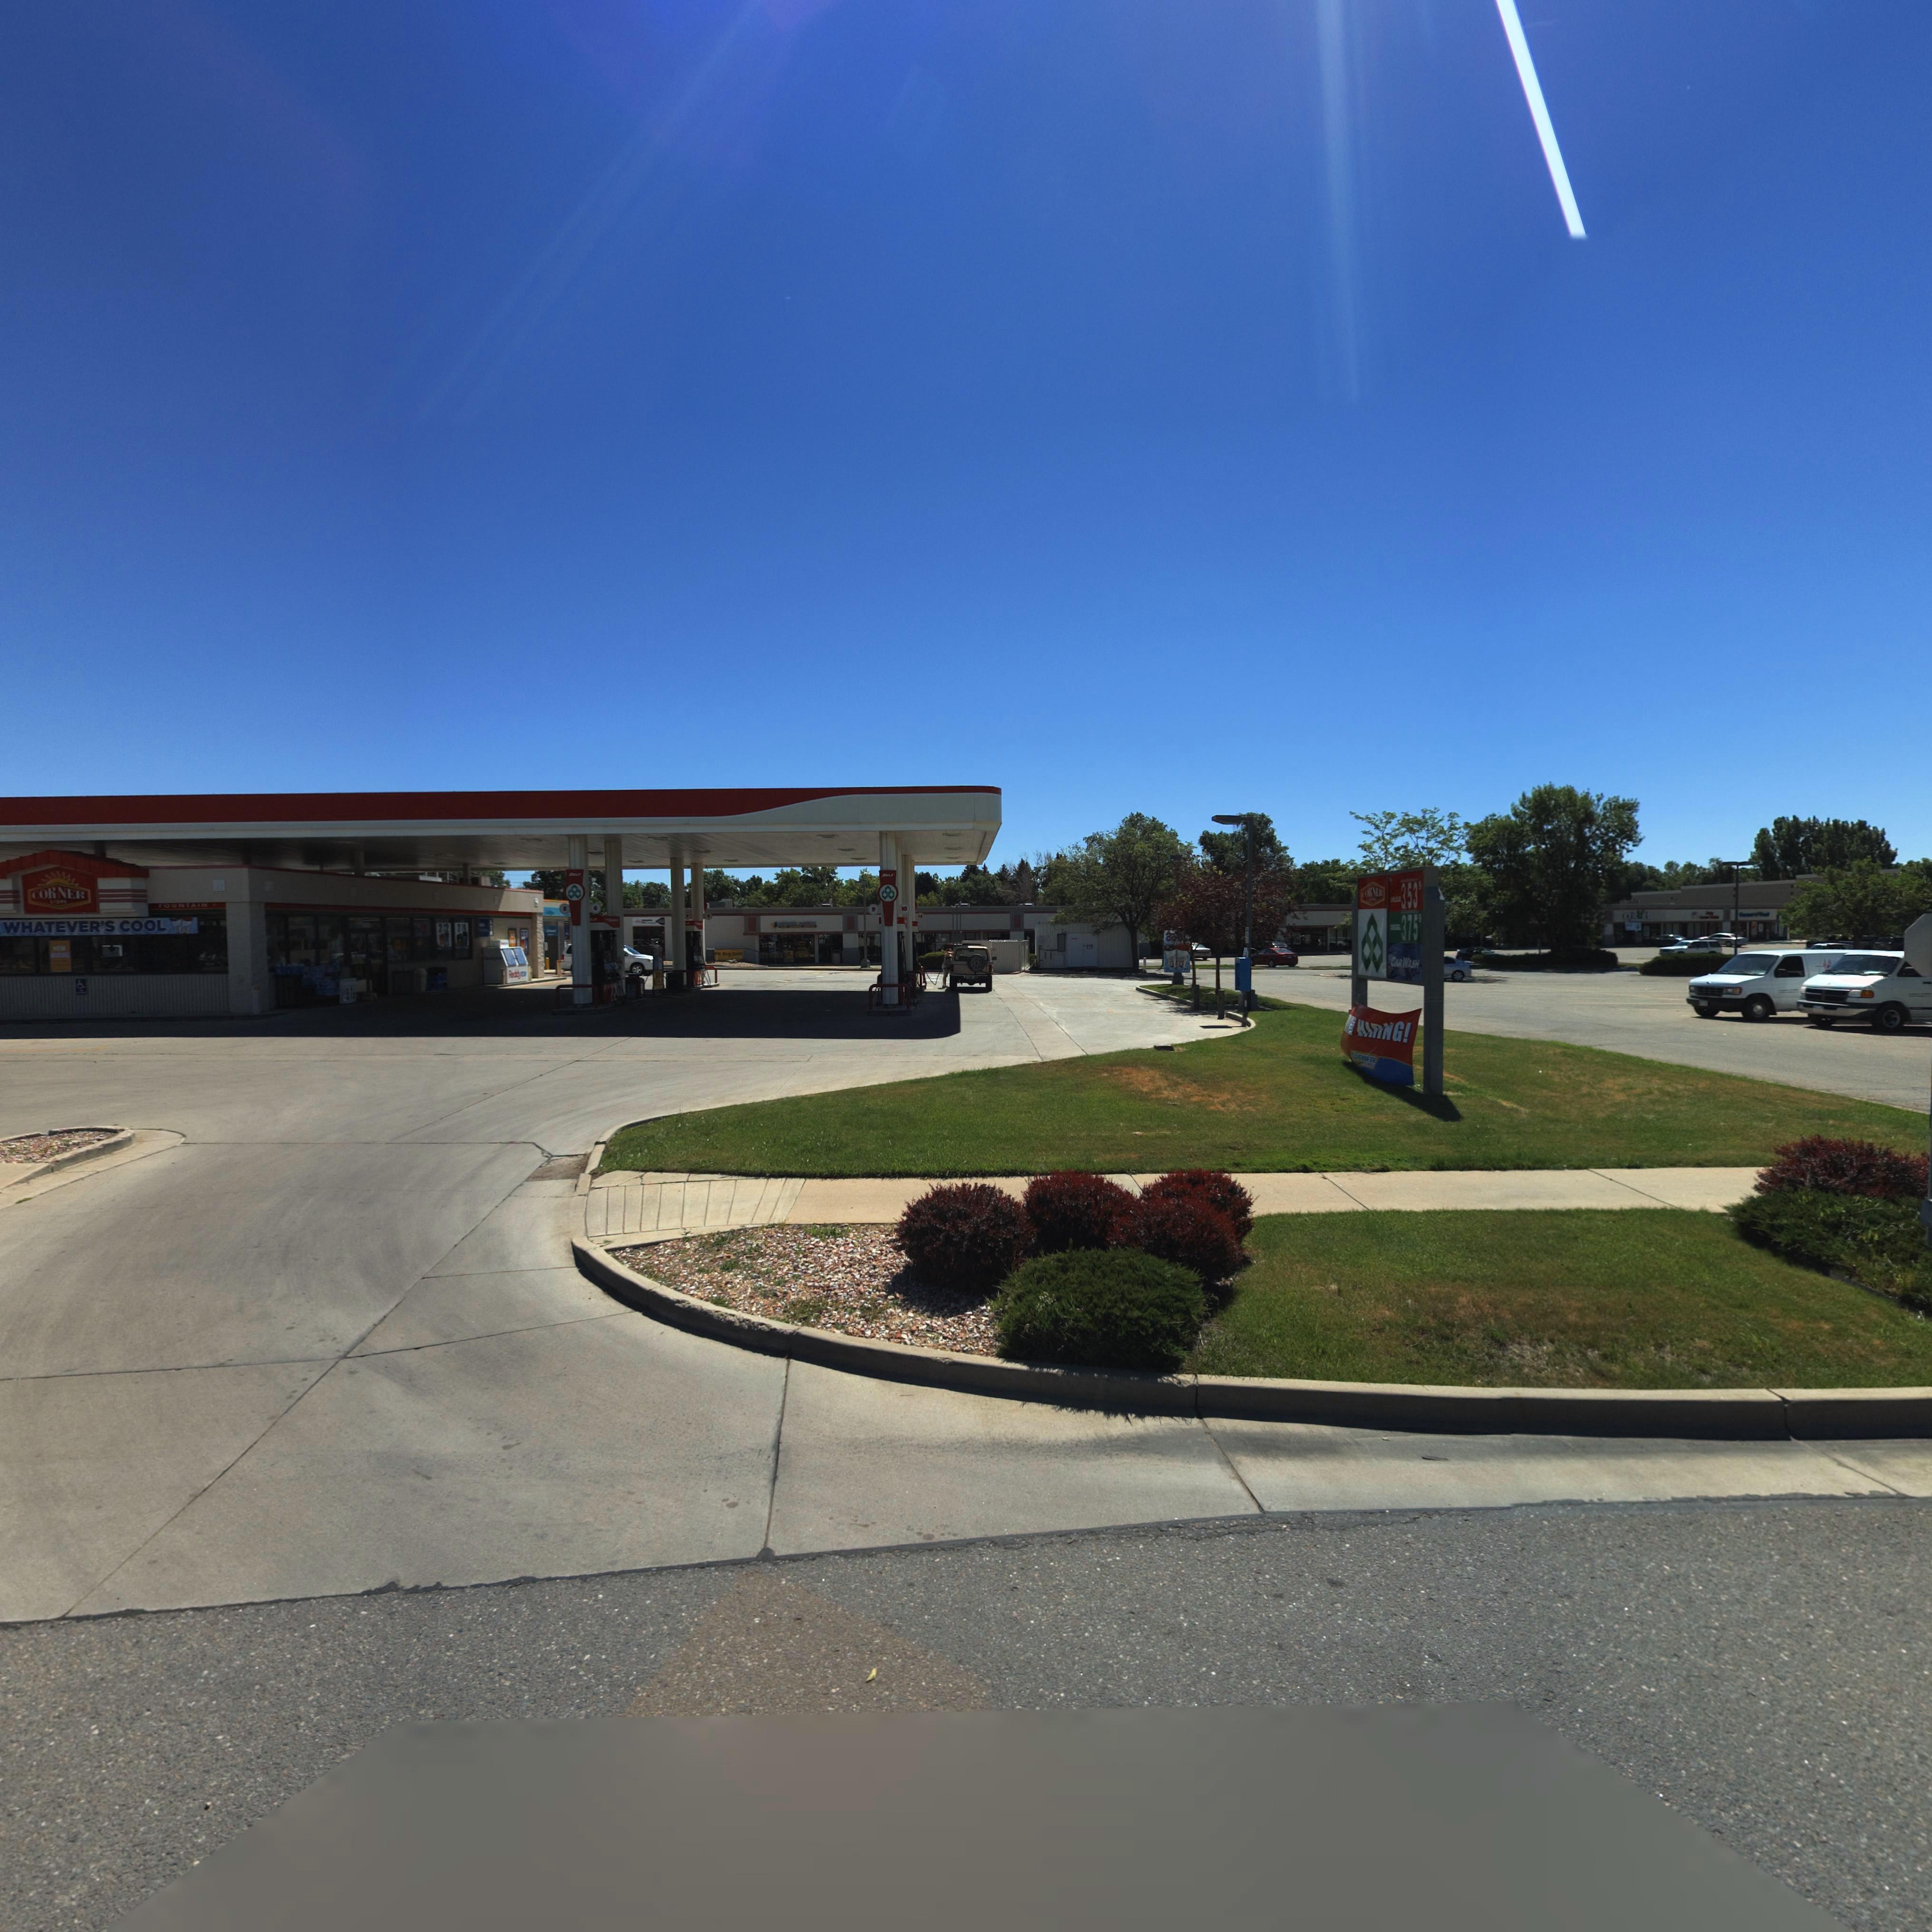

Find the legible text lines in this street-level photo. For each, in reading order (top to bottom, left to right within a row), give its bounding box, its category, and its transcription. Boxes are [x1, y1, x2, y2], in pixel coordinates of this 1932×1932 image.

[31, 886, 85, 899] BusinessName: CORNER
[1361, 886, 1383, 898] BusinessName: COR*ER
[1623, 908, 1650, 919] BusinessName: cr**k**
[1352, 1052, 1375, 1063] BusinessName: CORNER